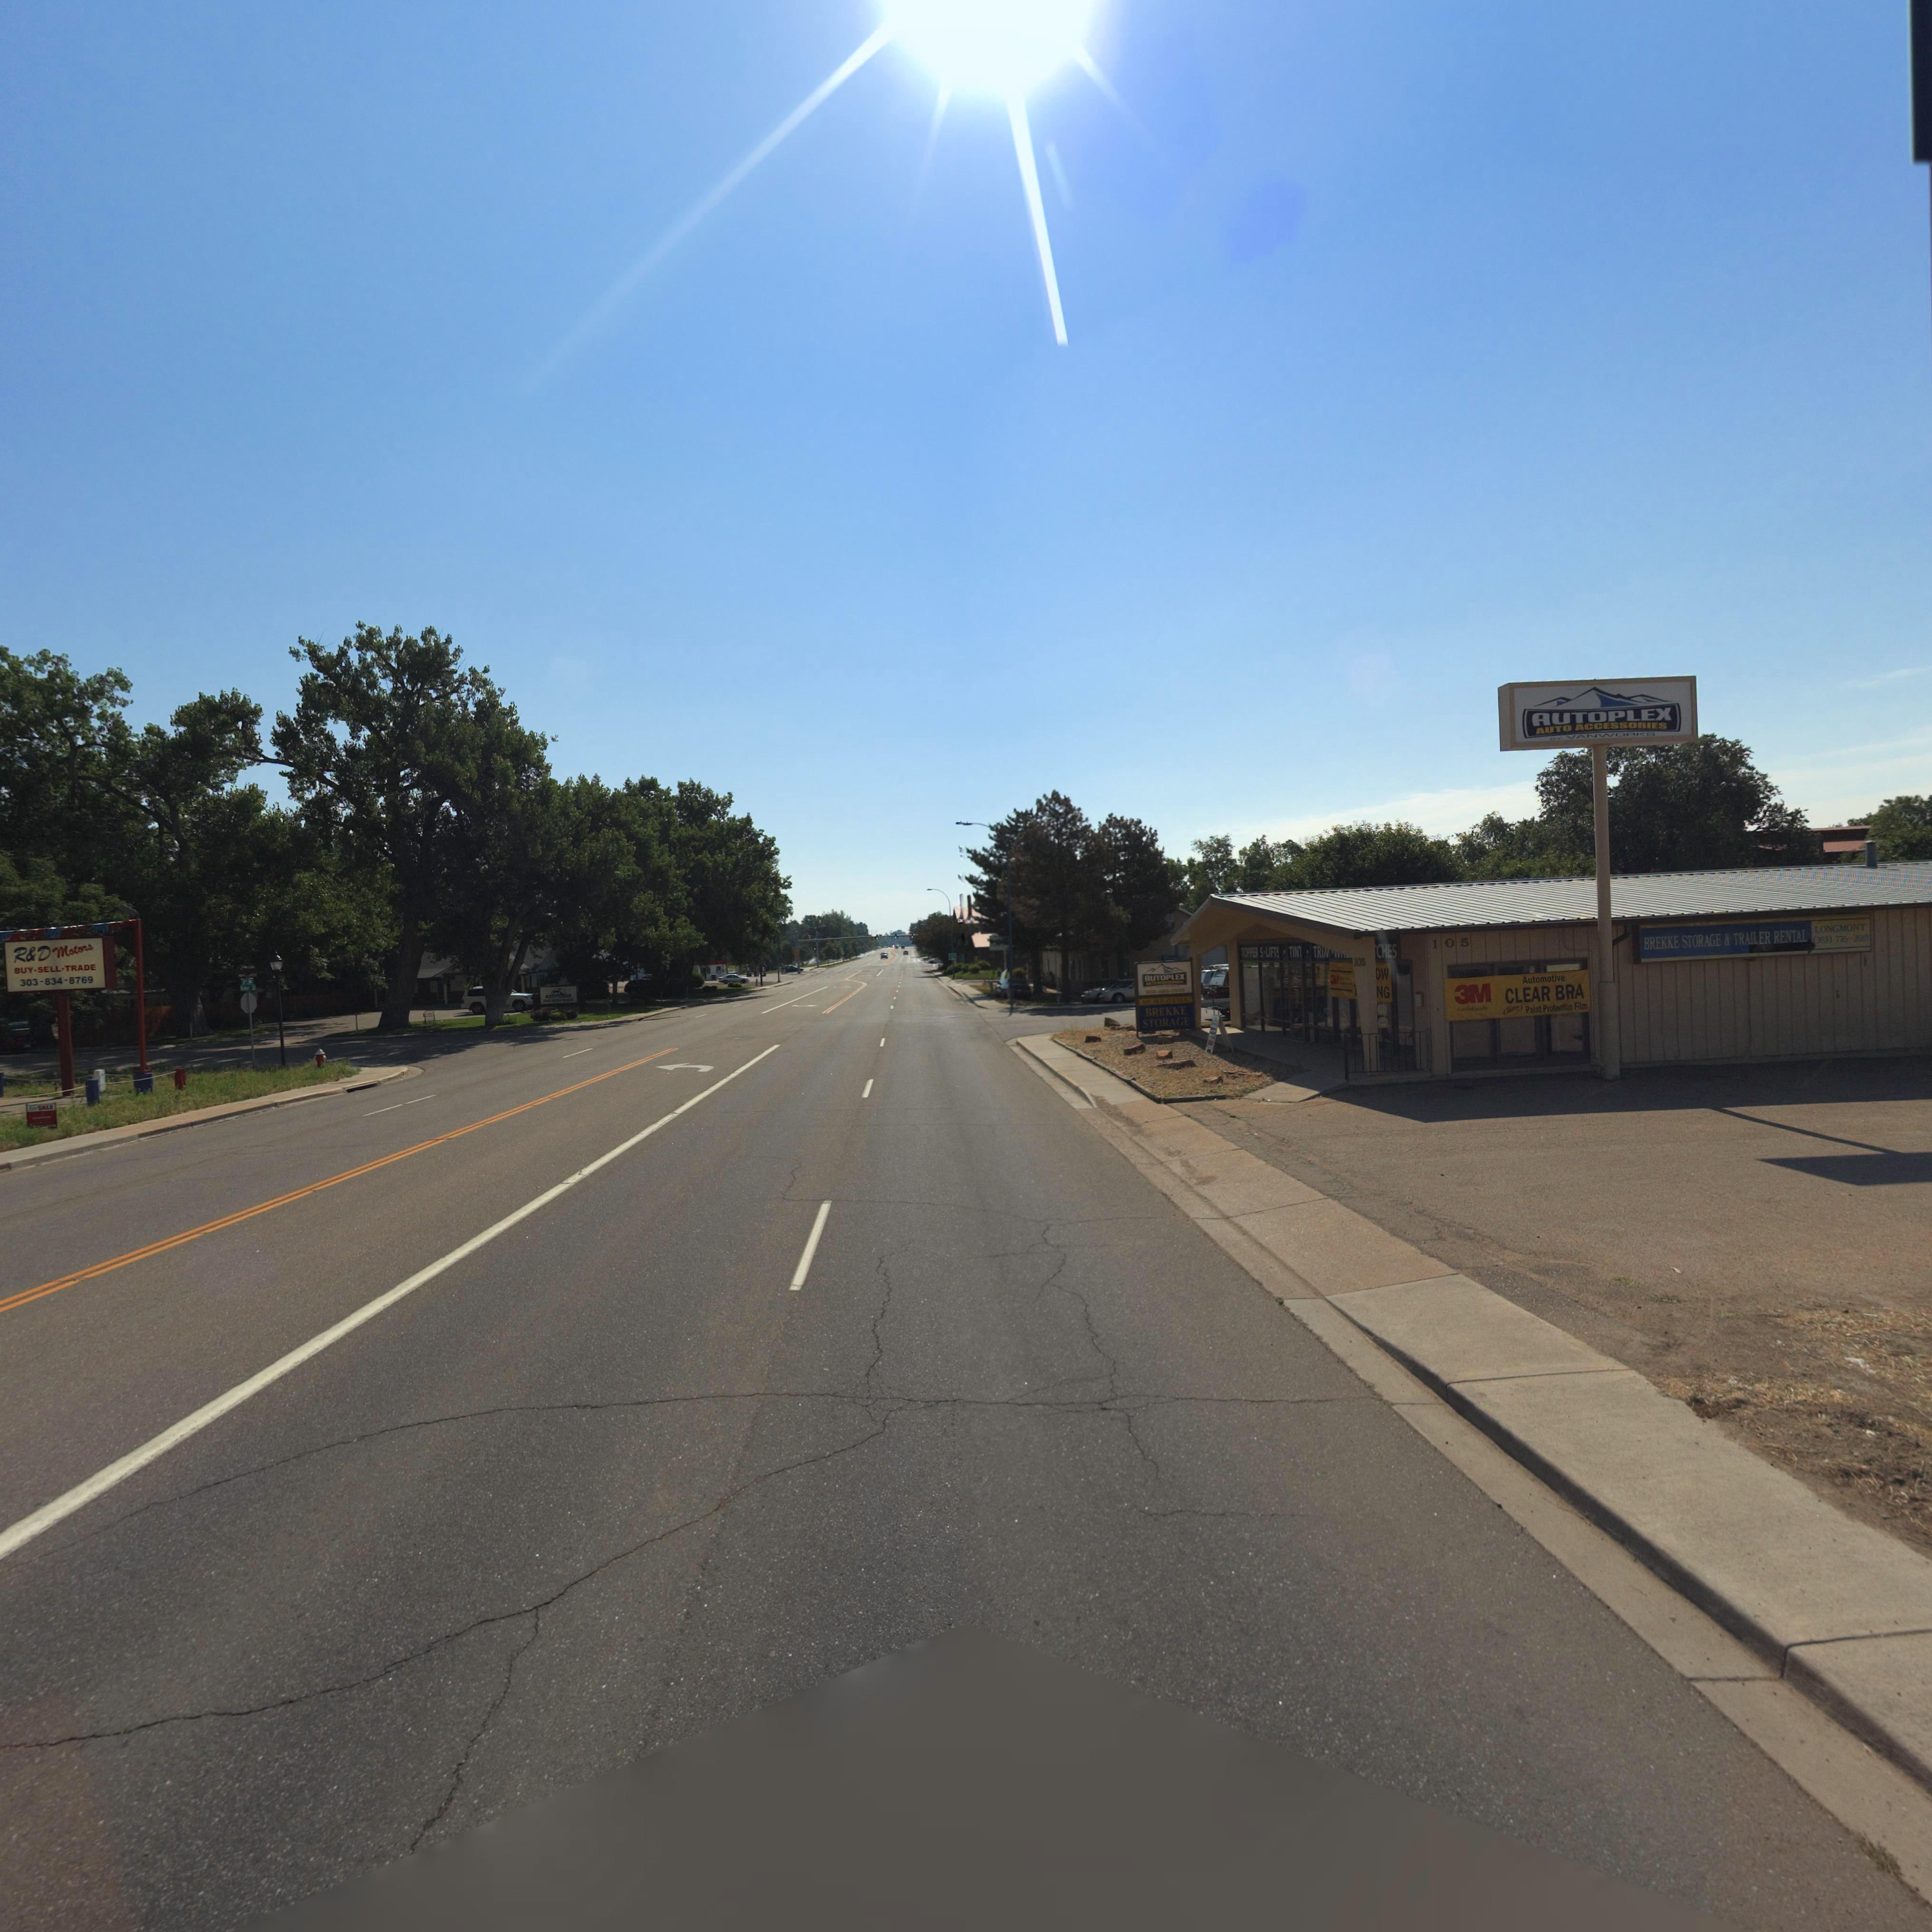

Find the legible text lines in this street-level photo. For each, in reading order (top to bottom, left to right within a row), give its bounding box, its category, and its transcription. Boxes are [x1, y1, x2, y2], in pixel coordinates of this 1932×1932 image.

[1529, 706, 1672, 727] BusinessName: AUTOPLEX
[1534, 721, 1668, 735] BusinessName: AUTO ACCESSORIES
[1549, 731, 1655, 741] BusinessName: ** VANWORK*
[1431, 937, 1470, 949] StreetNumber: 105
[1642, 928, 1807, 951] BusinessName: BREKKE STORAGE & TRAILER RENTAL
[12, 943, 95, 965] BusinessName: R&D Motors
[1353, 956, 1366, 967] StreetNumber: 105
[241, 978, 253, 985] StreetName: 3** Av
[1144, 973, 1185, 982] BusinessName: AUTOPLEX
[1146, 980, 1184, 986] BusinessName: AUTO A***SS***ES
[1142, 999, 1151, 1005] StreetNumber: 105
[1152, 997, 1189, 1004] StreetName: 3RD AVENUE
[1145, 1005, 1187, 1017] BusinessName: BREKKE
[1141, 1016, 1191, 1028] BusinessName: STORAGE